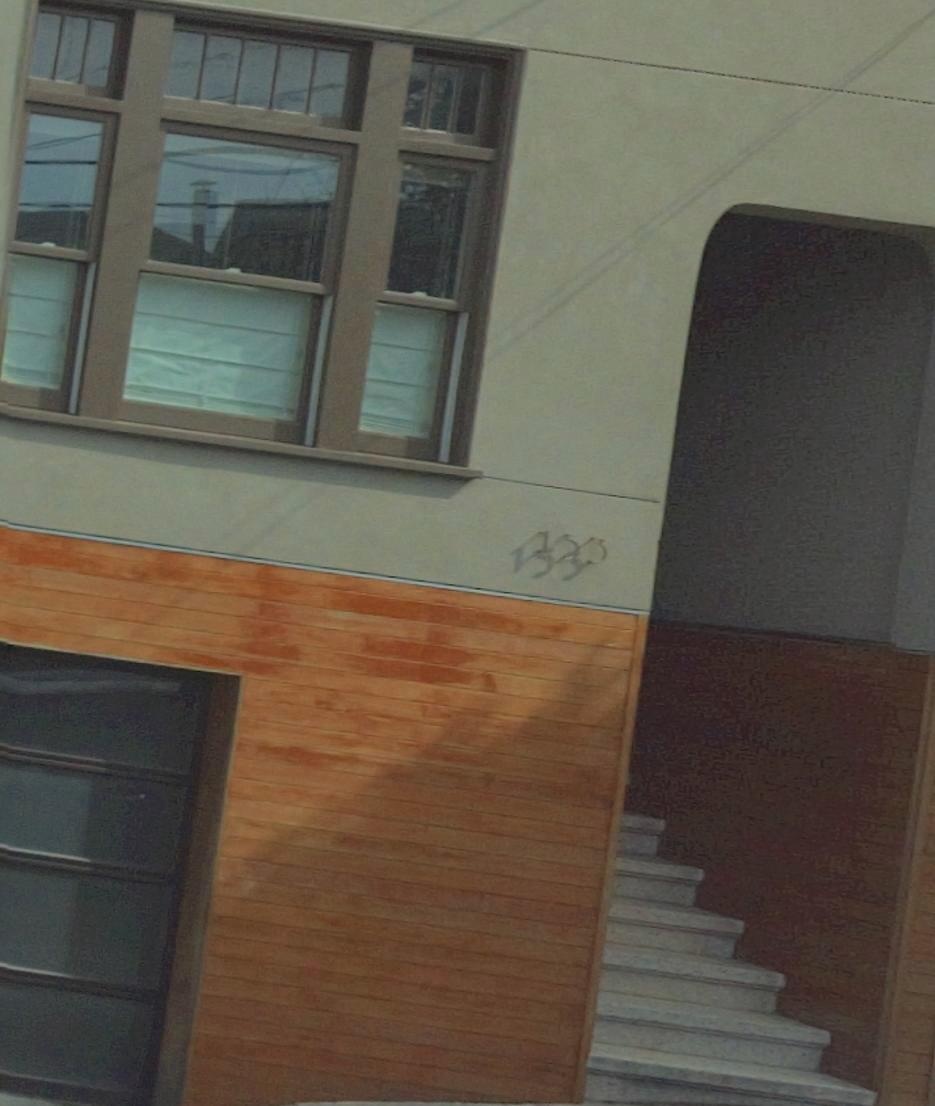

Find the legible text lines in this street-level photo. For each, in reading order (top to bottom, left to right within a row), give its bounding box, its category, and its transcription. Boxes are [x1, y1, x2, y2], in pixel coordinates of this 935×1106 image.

[535, 529, 610, 567] StreetNumber: 153